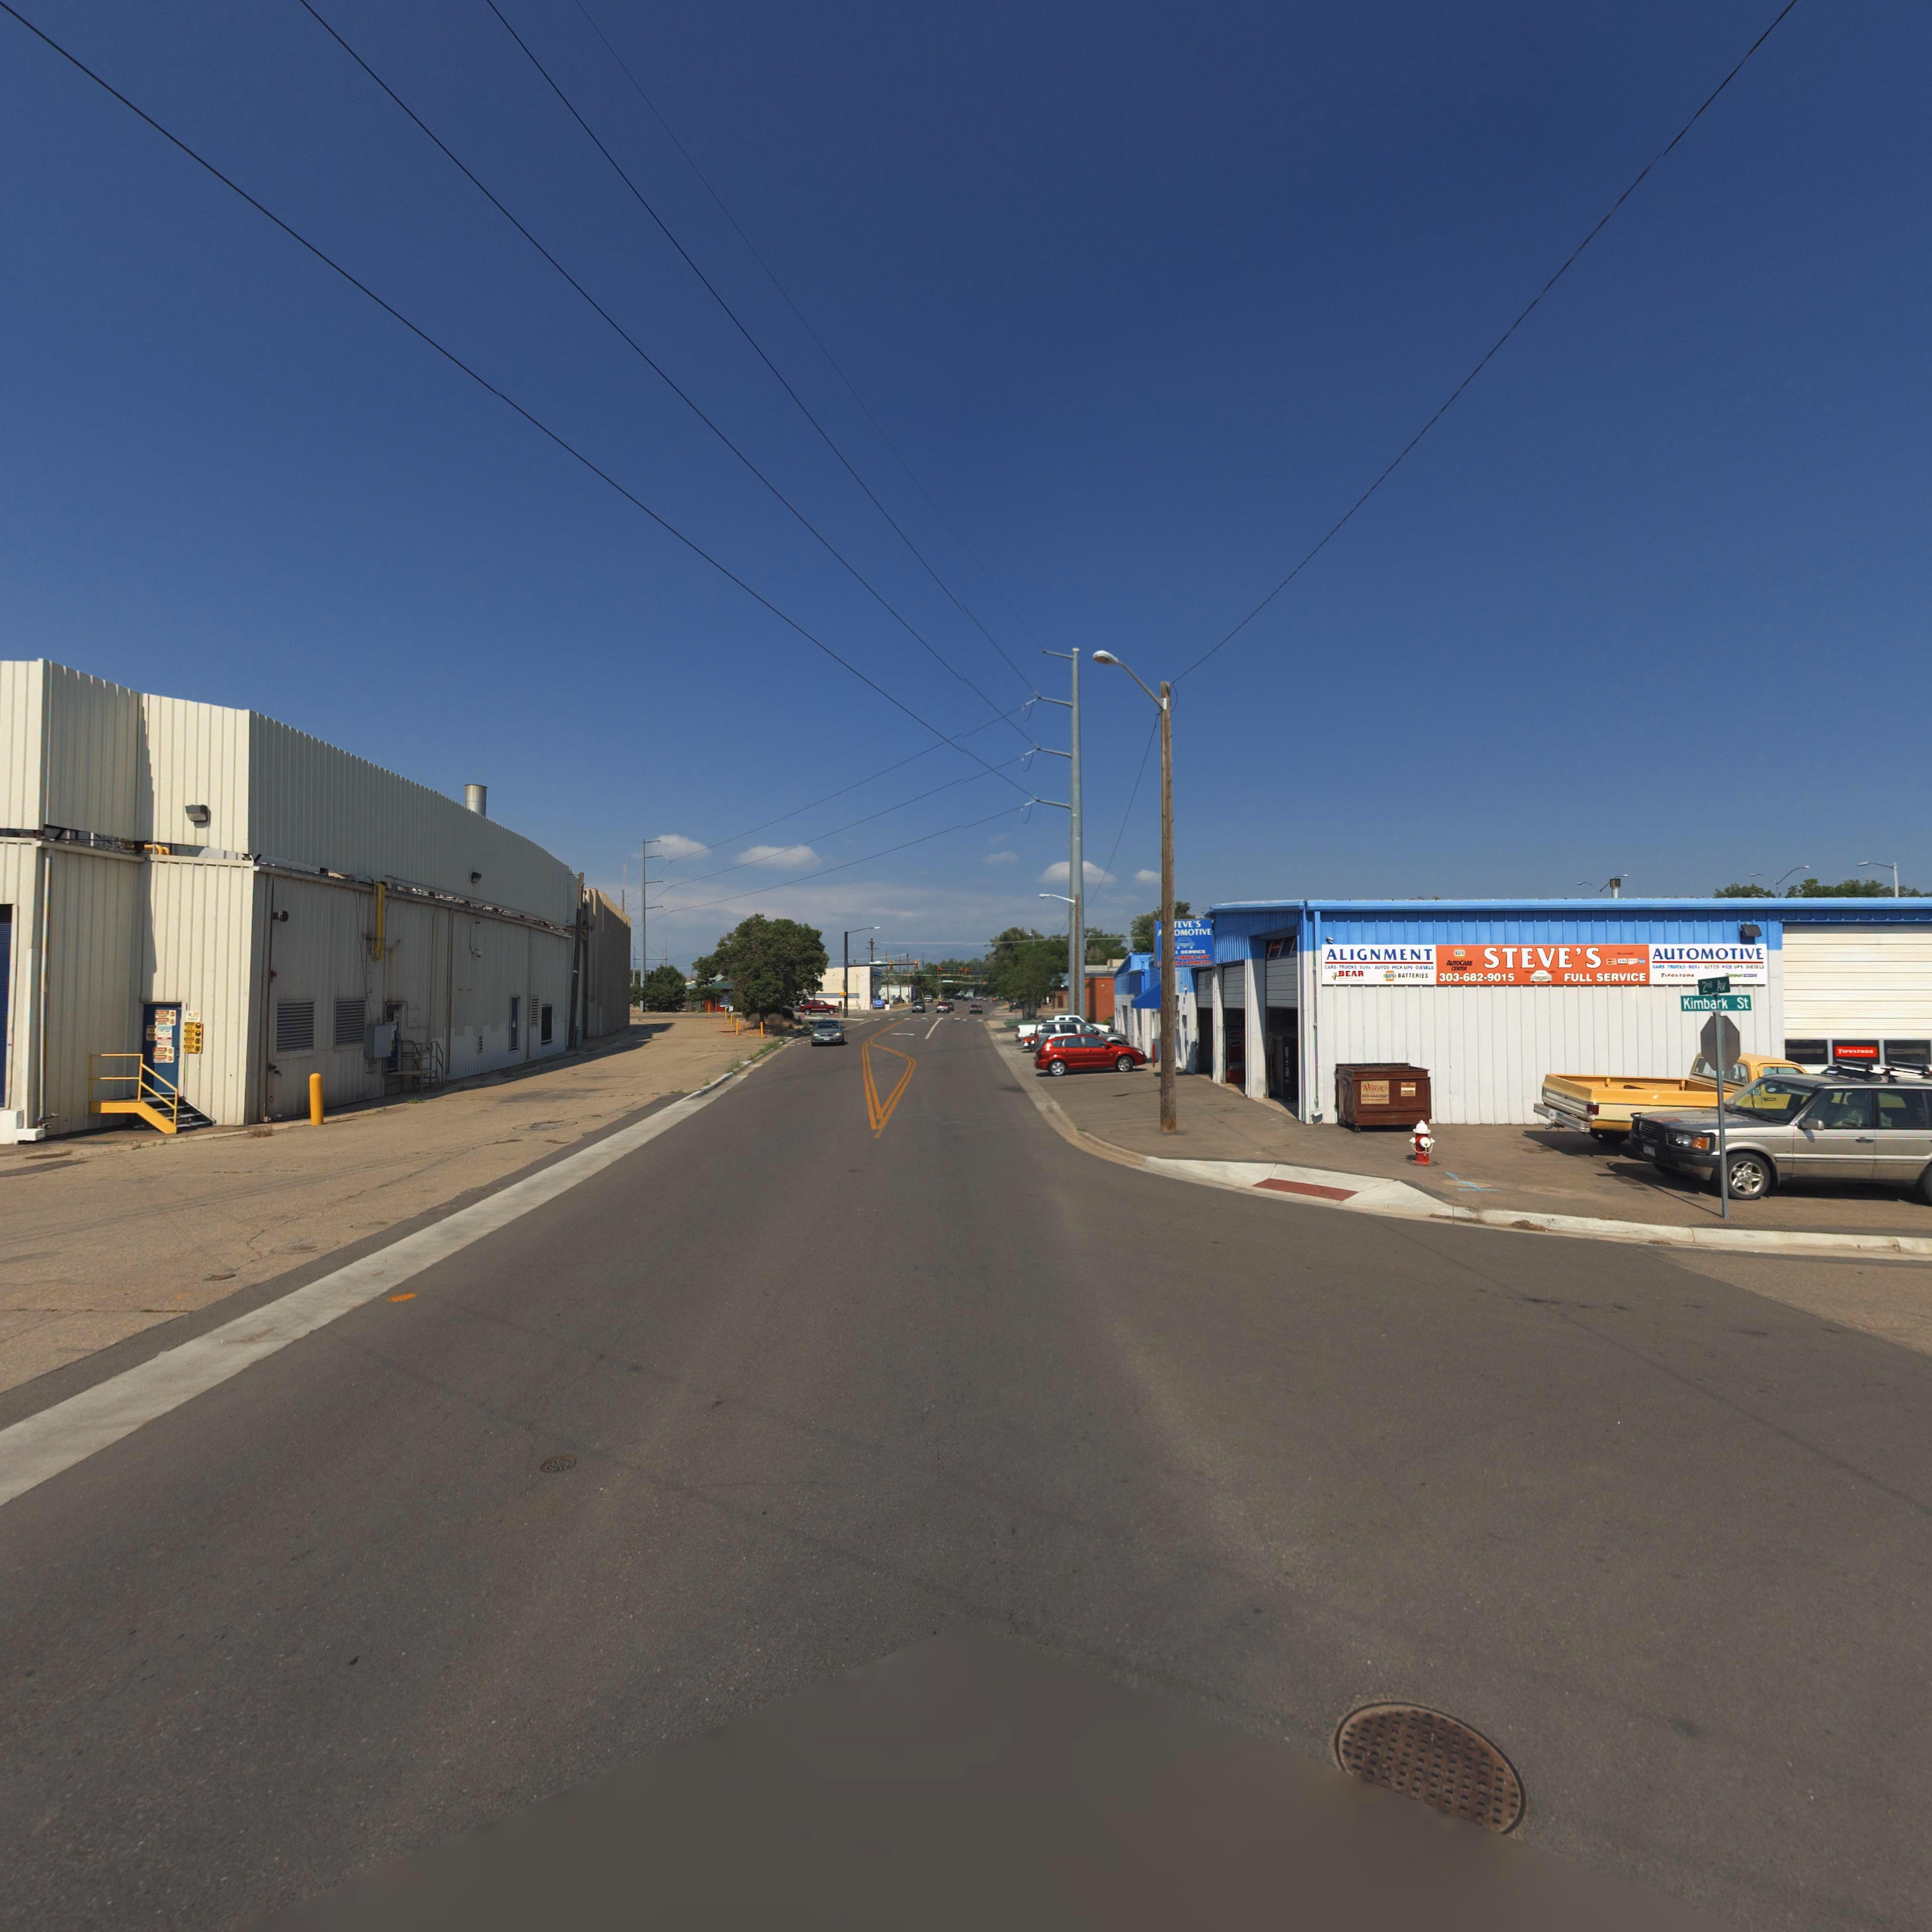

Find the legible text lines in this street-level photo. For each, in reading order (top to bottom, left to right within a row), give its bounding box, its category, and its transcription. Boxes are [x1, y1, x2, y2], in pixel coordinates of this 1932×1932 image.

[1174, 919, 1202, 927] BusinessName: *EVE'S
[1157, 927, 1212, 936] BusinessName: A**OMOTIVE
[1483, 946, 1603, 968] BusinessName: STEVE'S
[1652, 947, 1764, 960] BusinessName: AUTOMOTIVE
[1700, 979, 1727, 994] StreetName: 2nd Av
[1682, 996, 1749, 1009] StreetName: Kimbark St